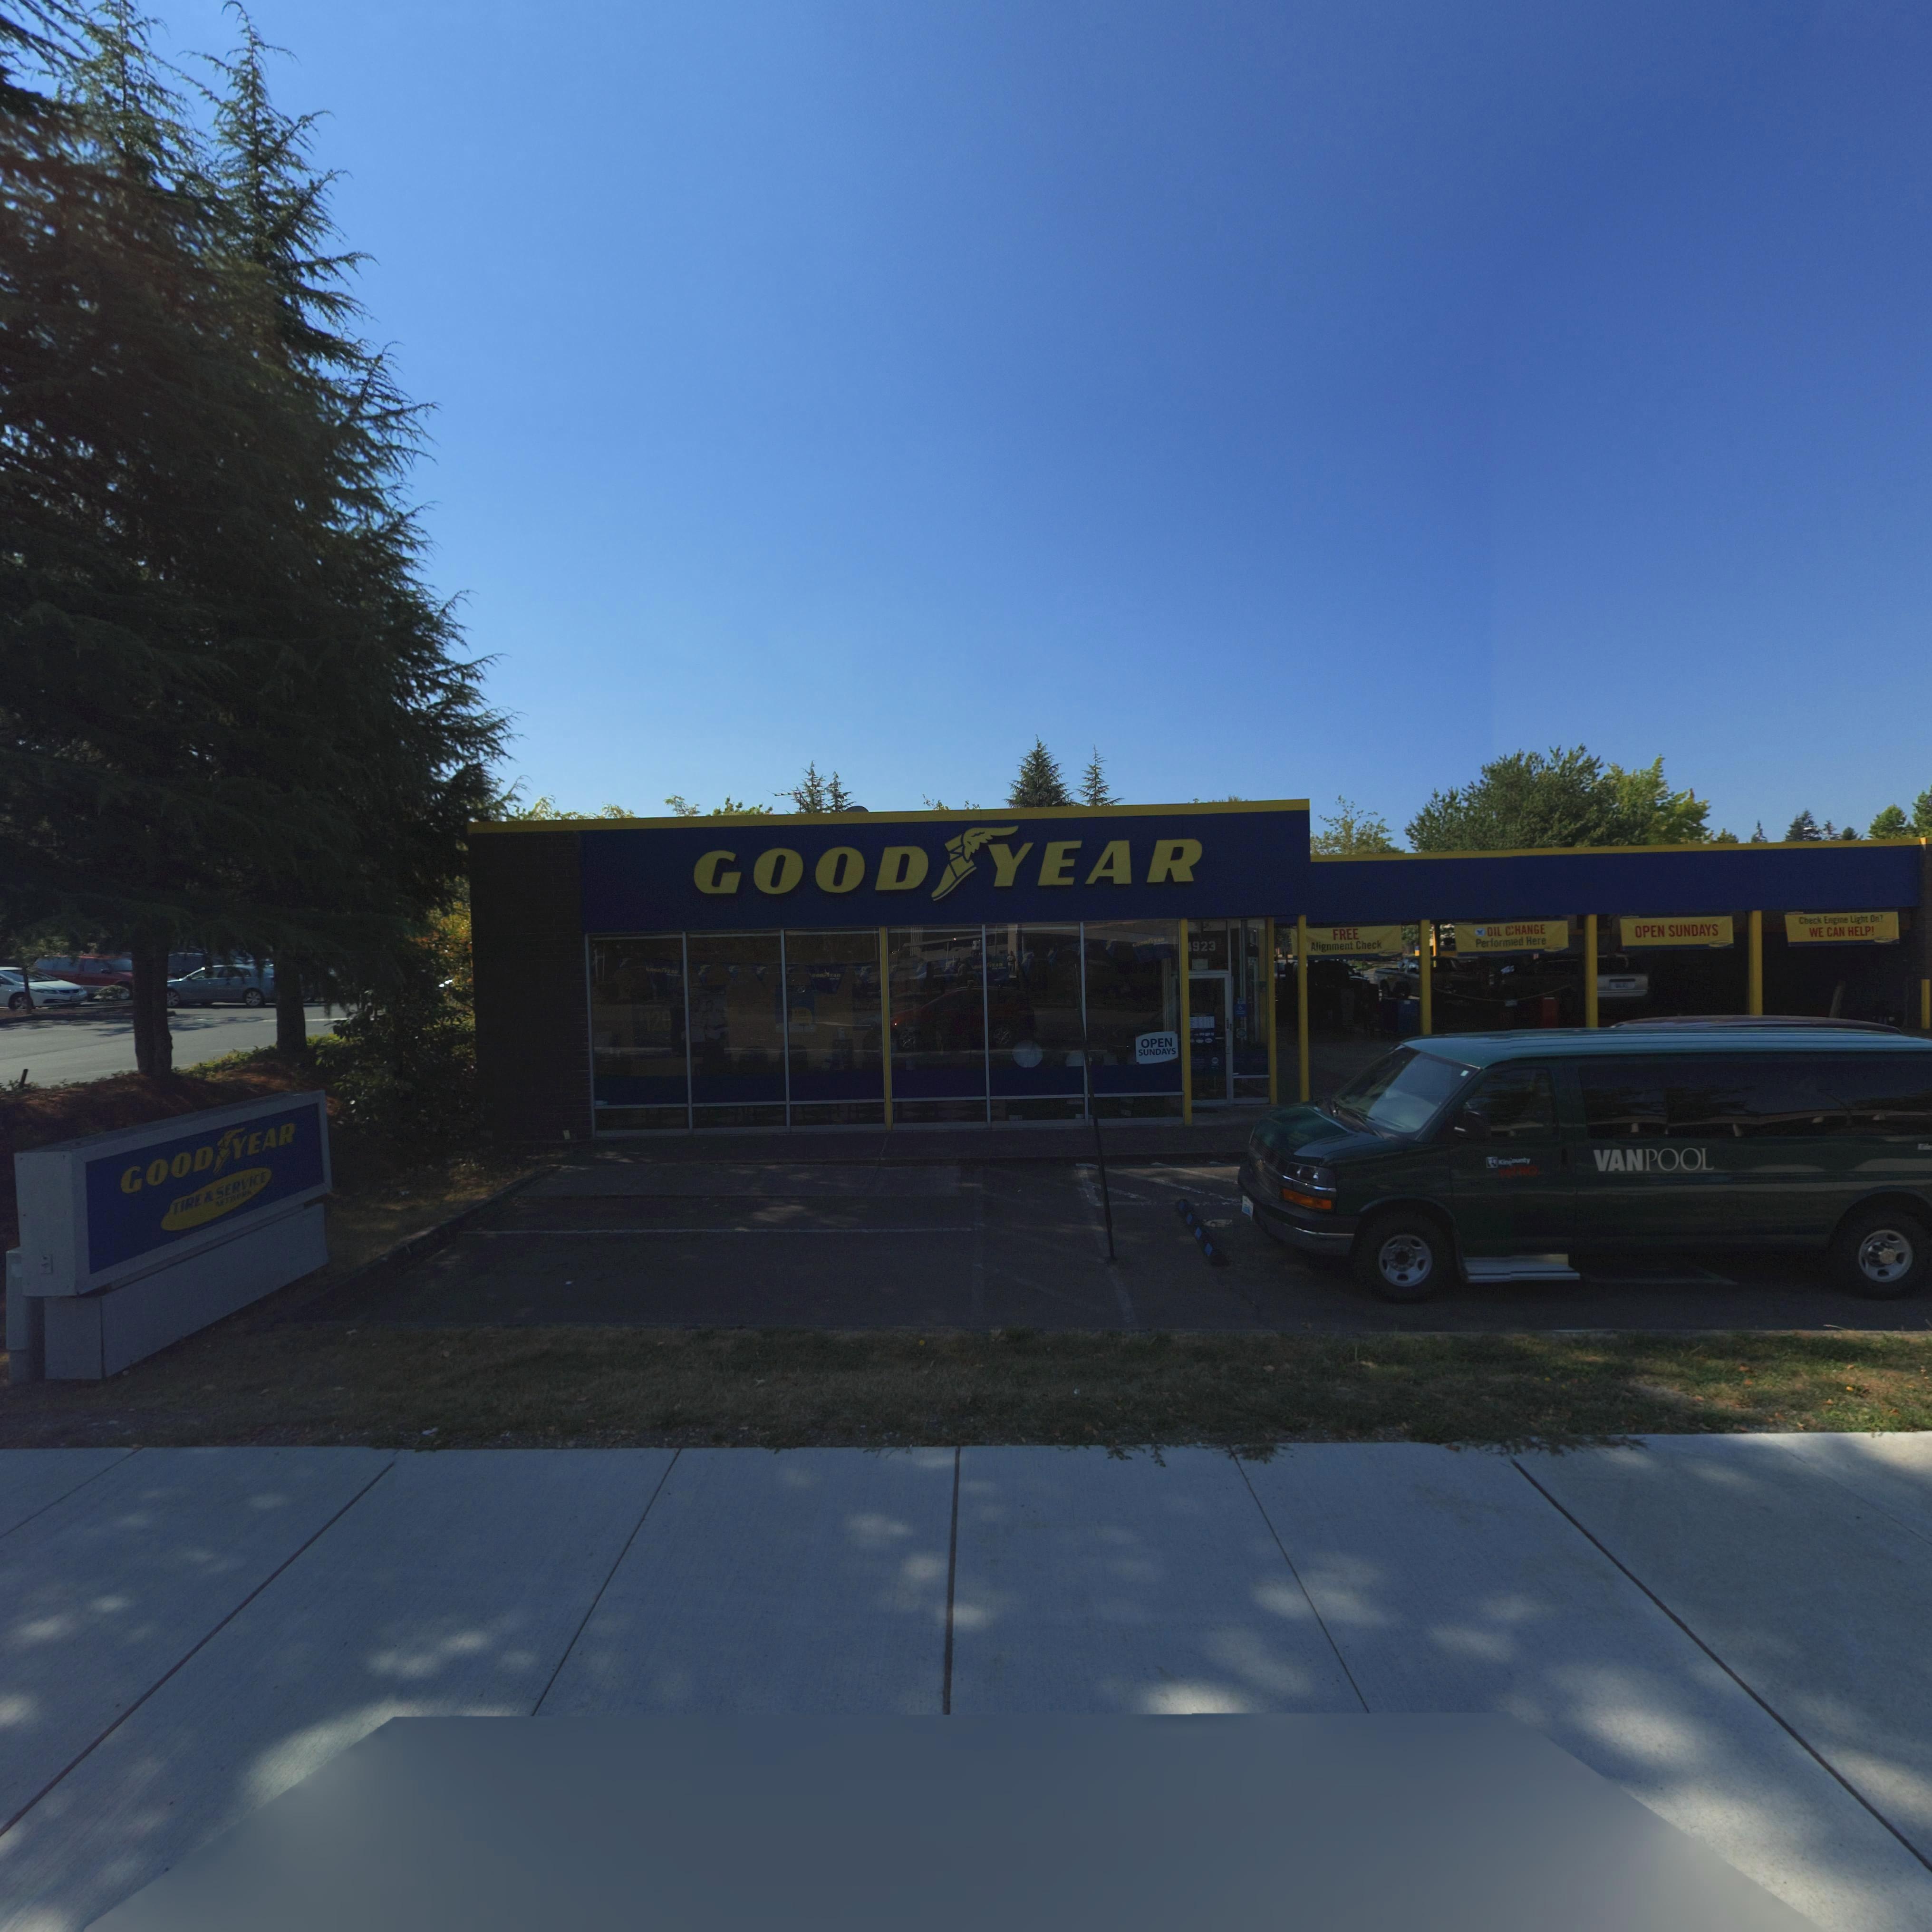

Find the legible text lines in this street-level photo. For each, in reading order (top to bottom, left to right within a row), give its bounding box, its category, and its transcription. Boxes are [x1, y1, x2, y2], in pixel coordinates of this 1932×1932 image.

[688, 835, 1209, 899] BusinessName: GOOD*YEAR
[1192, 940, 1217, 952] StreetNumber: 923
[118, 1118, 299, 1197] BusinessName: GOOD*YEAR